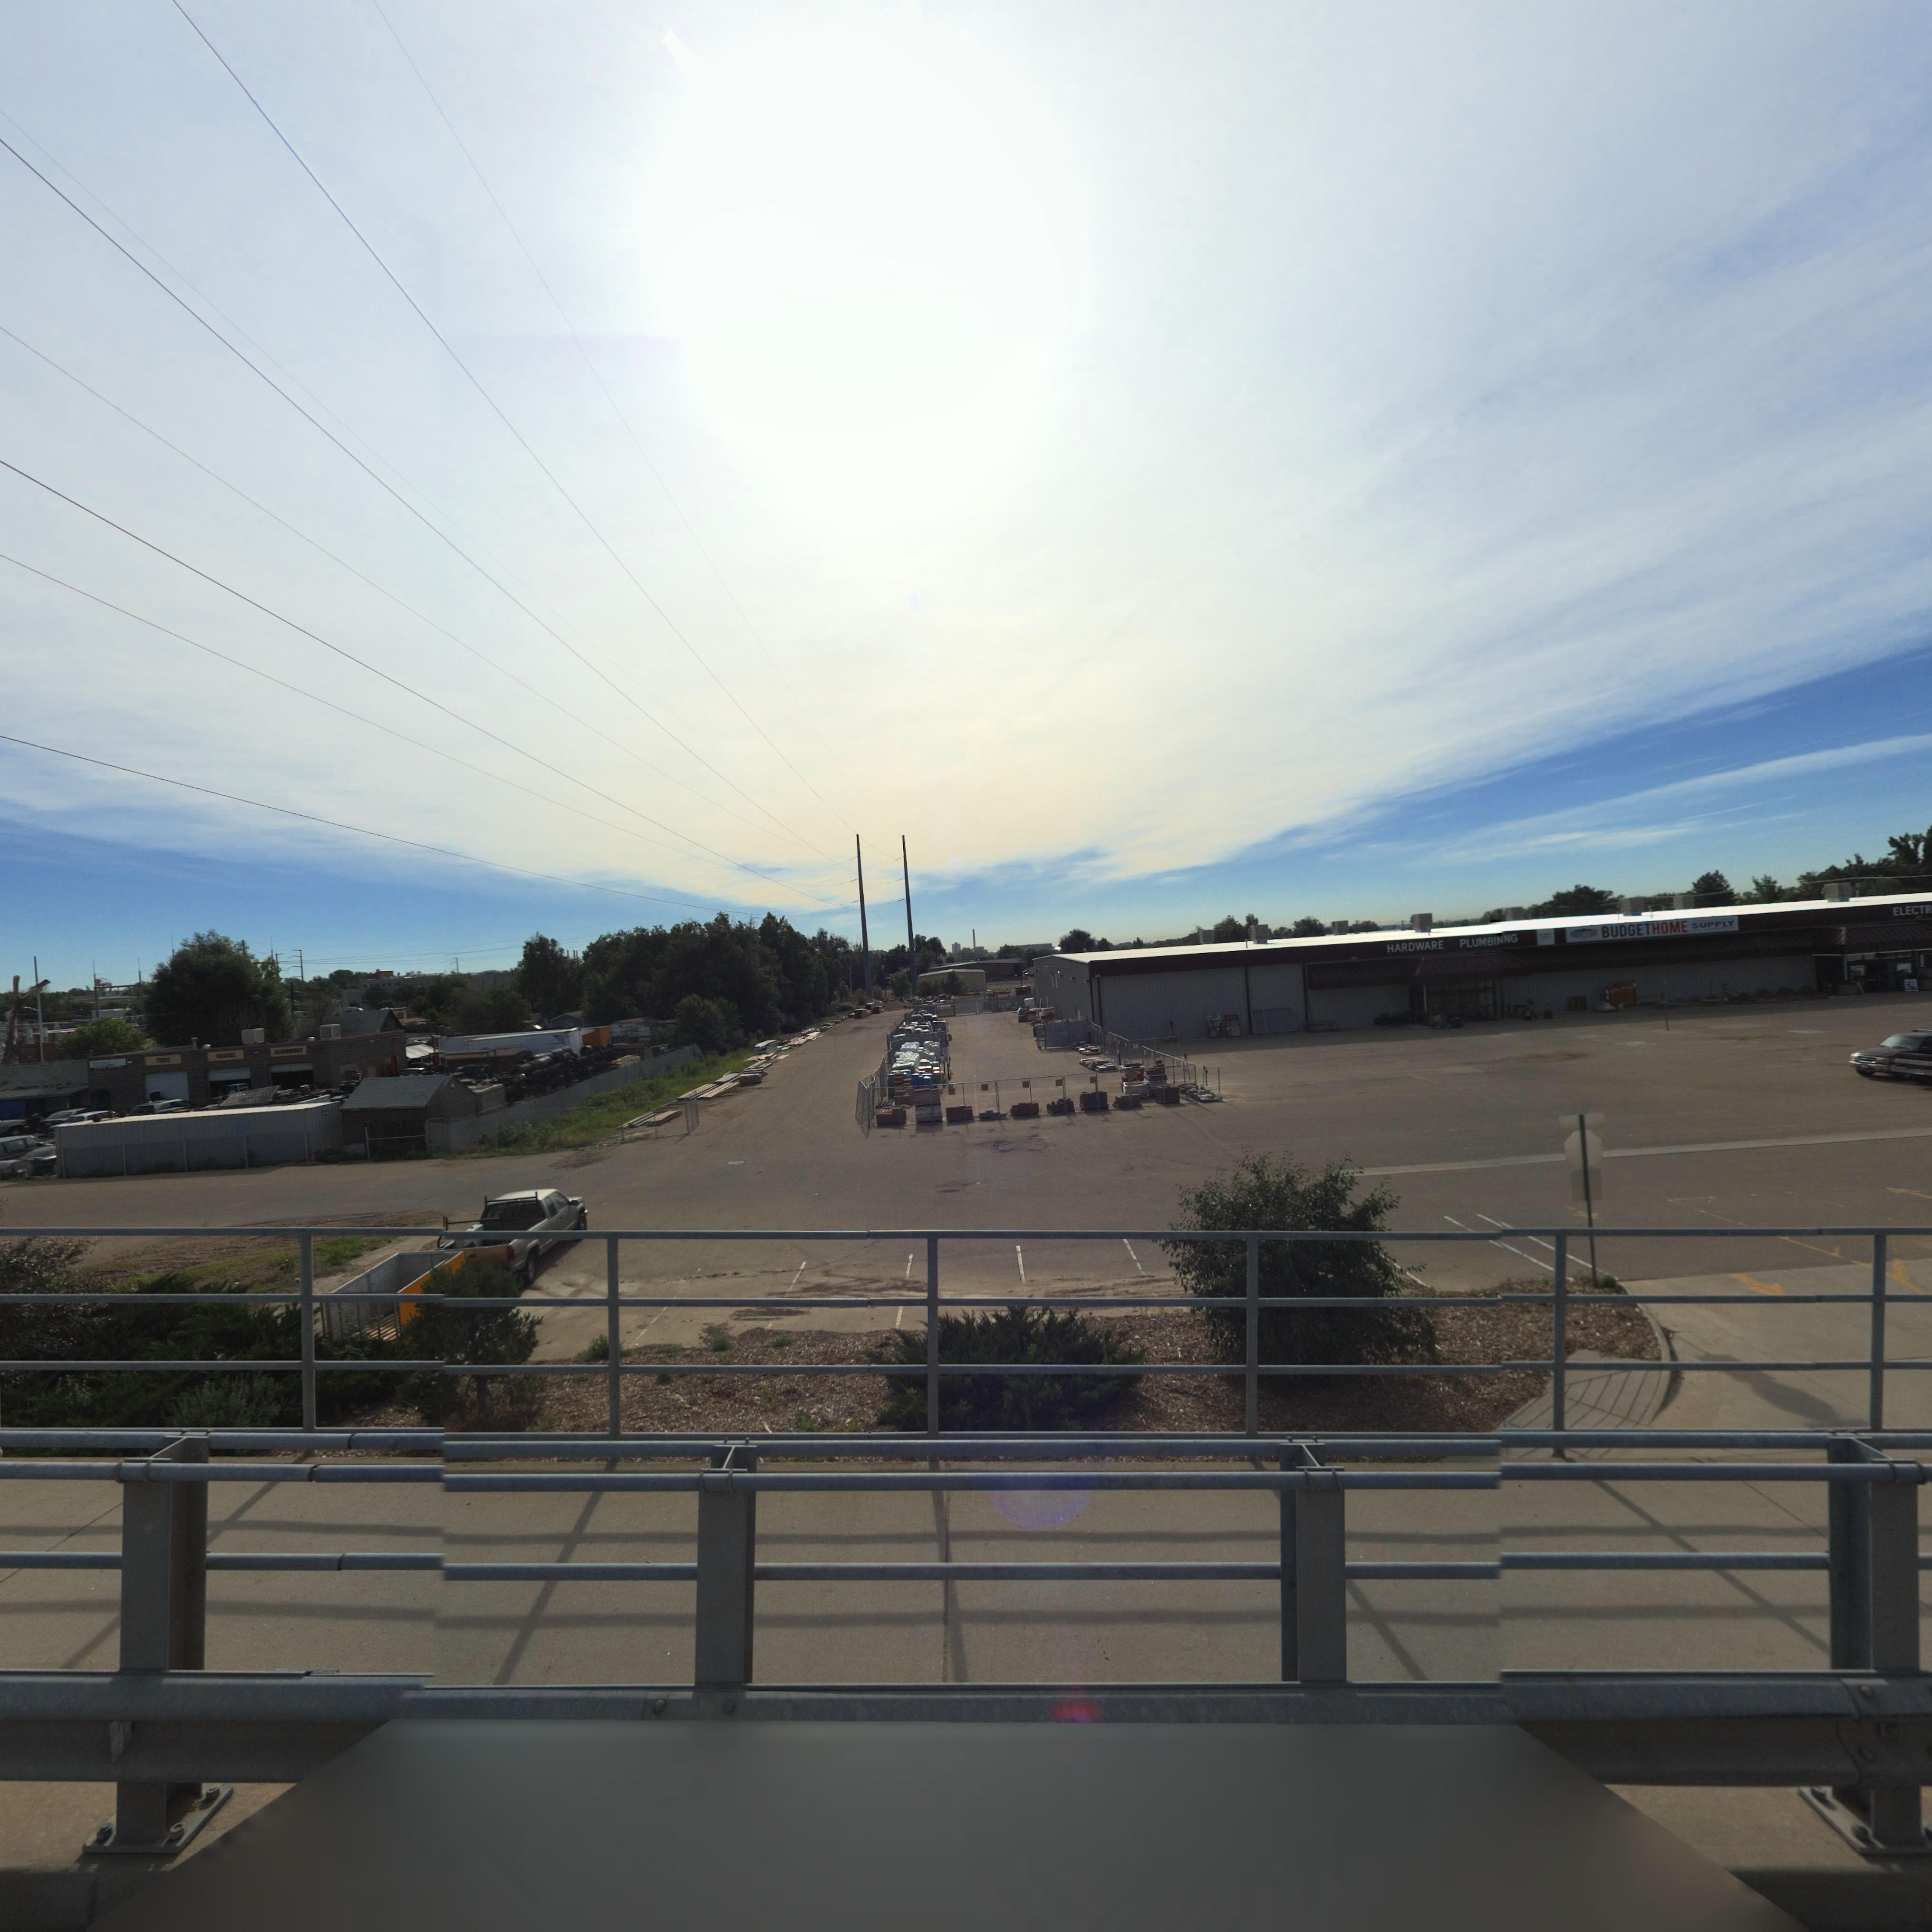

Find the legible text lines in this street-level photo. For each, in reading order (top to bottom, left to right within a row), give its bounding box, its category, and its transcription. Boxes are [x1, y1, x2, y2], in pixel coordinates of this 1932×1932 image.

[1600, 919, 1689, 938] BusinessName: BUDGETHOME
[1691, 919, 1734, 929] BusinessName: SUPPLY